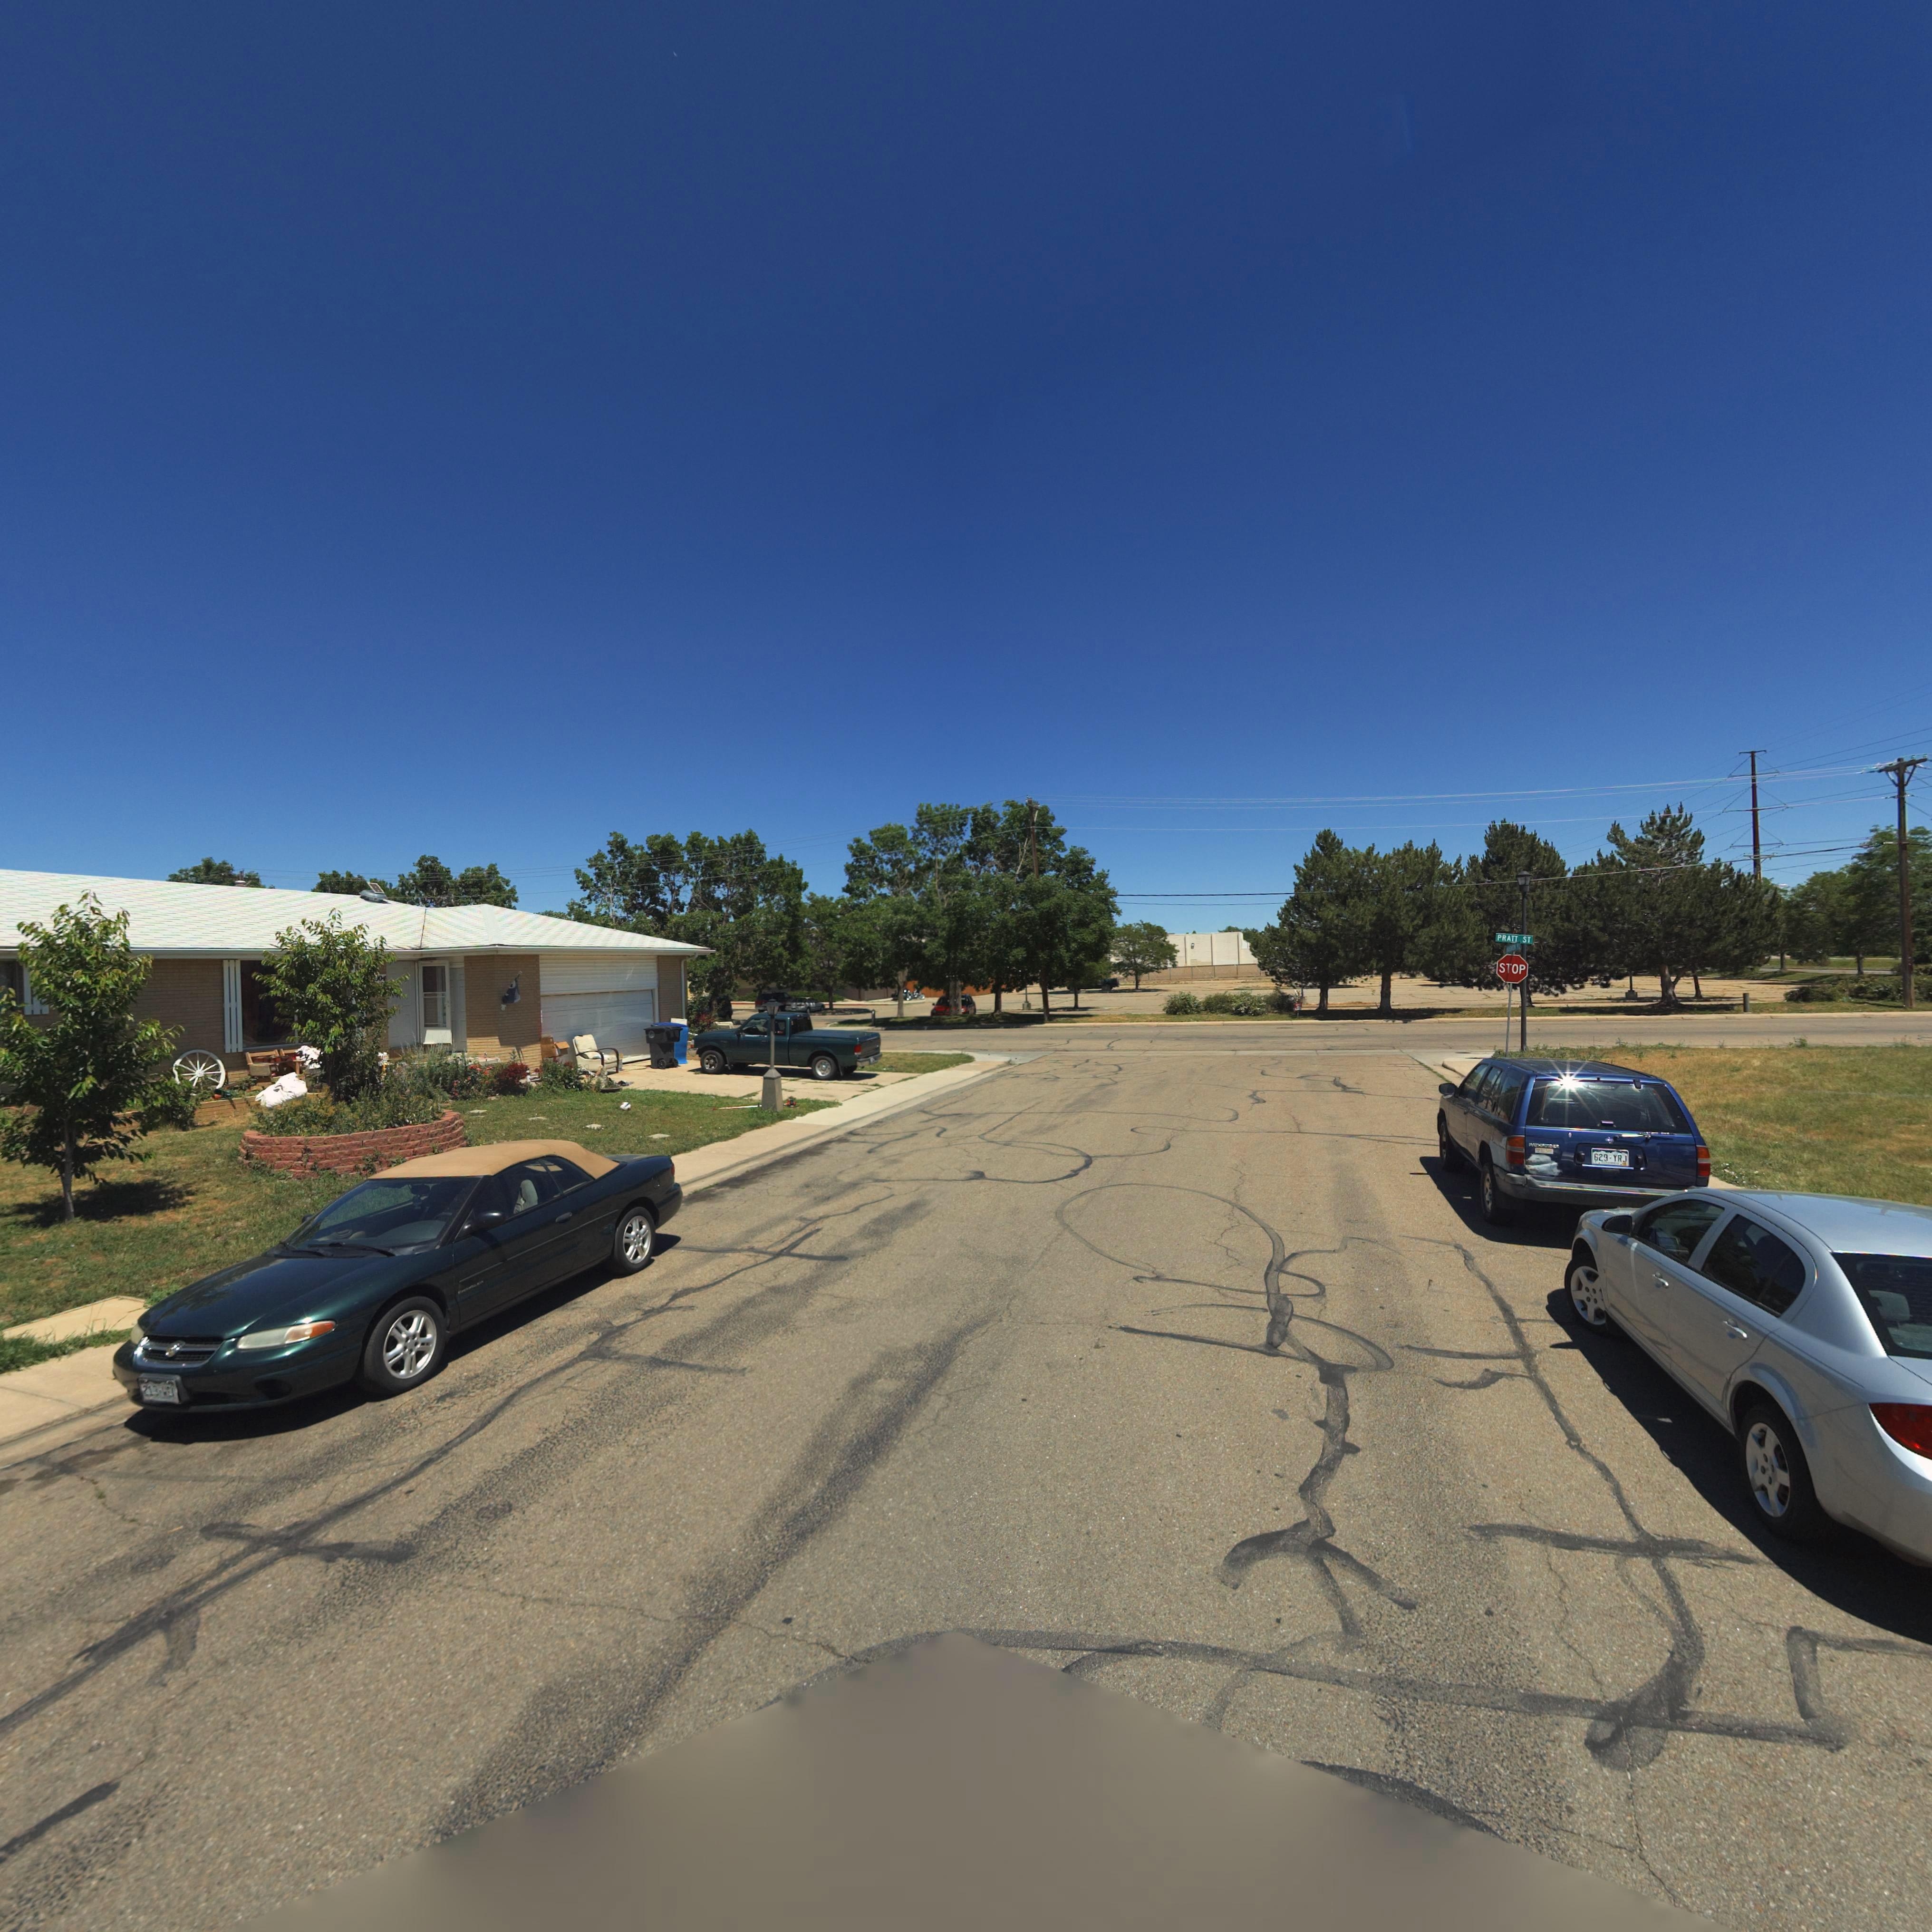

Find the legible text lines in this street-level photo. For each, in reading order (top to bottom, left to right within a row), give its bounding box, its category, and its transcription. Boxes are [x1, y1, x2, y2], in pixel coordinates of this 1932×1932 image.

[1497, 935, 1531, 943] StreetName: PRATT ST